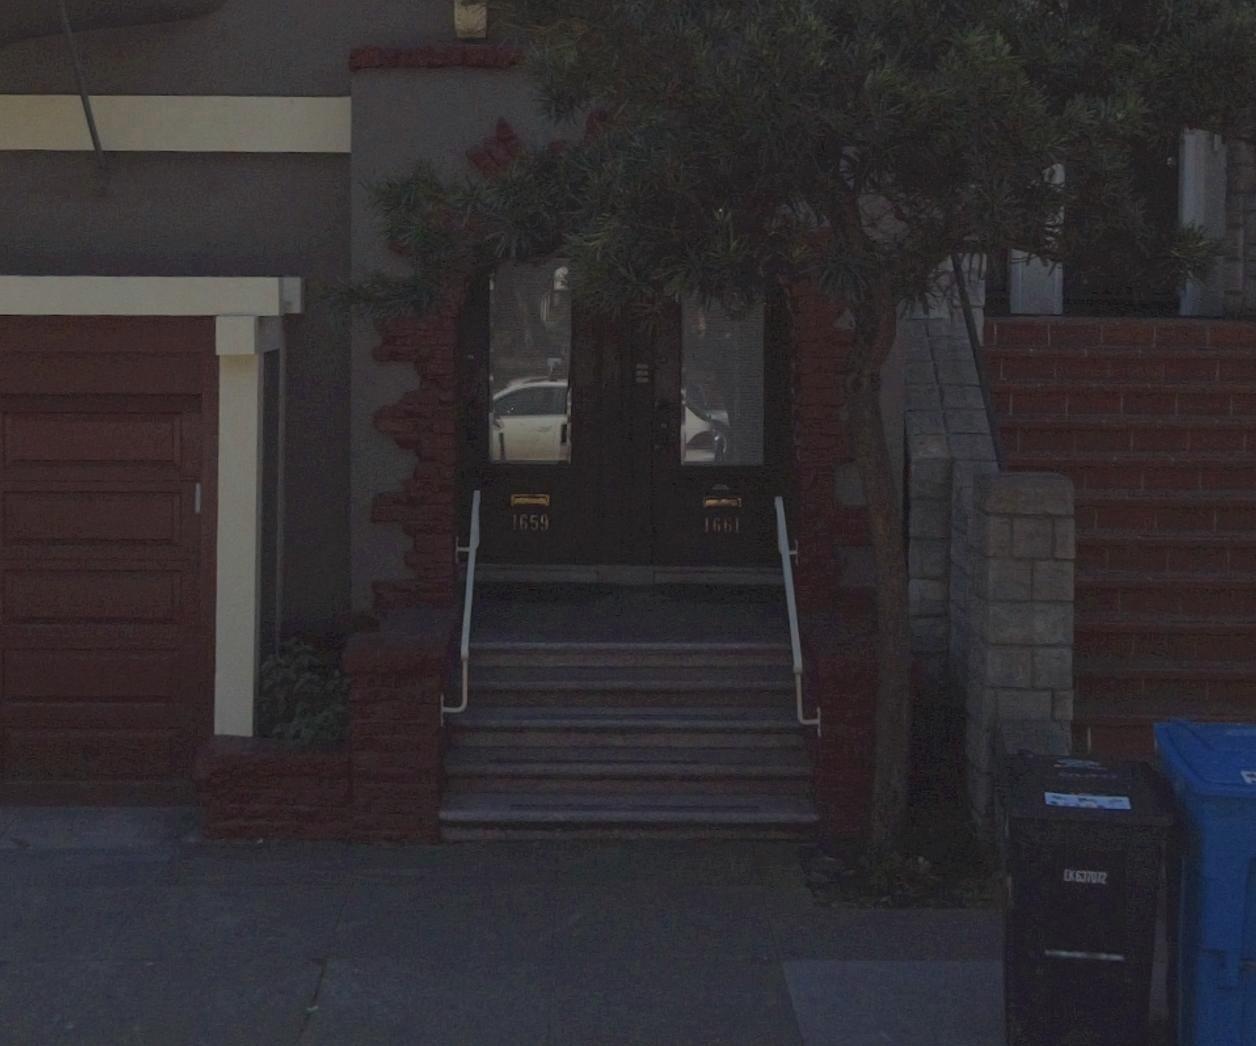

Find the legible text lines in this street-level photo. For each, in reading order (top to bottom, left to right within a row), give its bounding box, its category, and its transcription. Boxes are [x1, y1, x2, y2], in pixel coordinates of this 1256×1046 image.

[510, 511, 549, 532] StreetNumber: 1659
[703, 514, 741, 534] StreetNumber: 1661